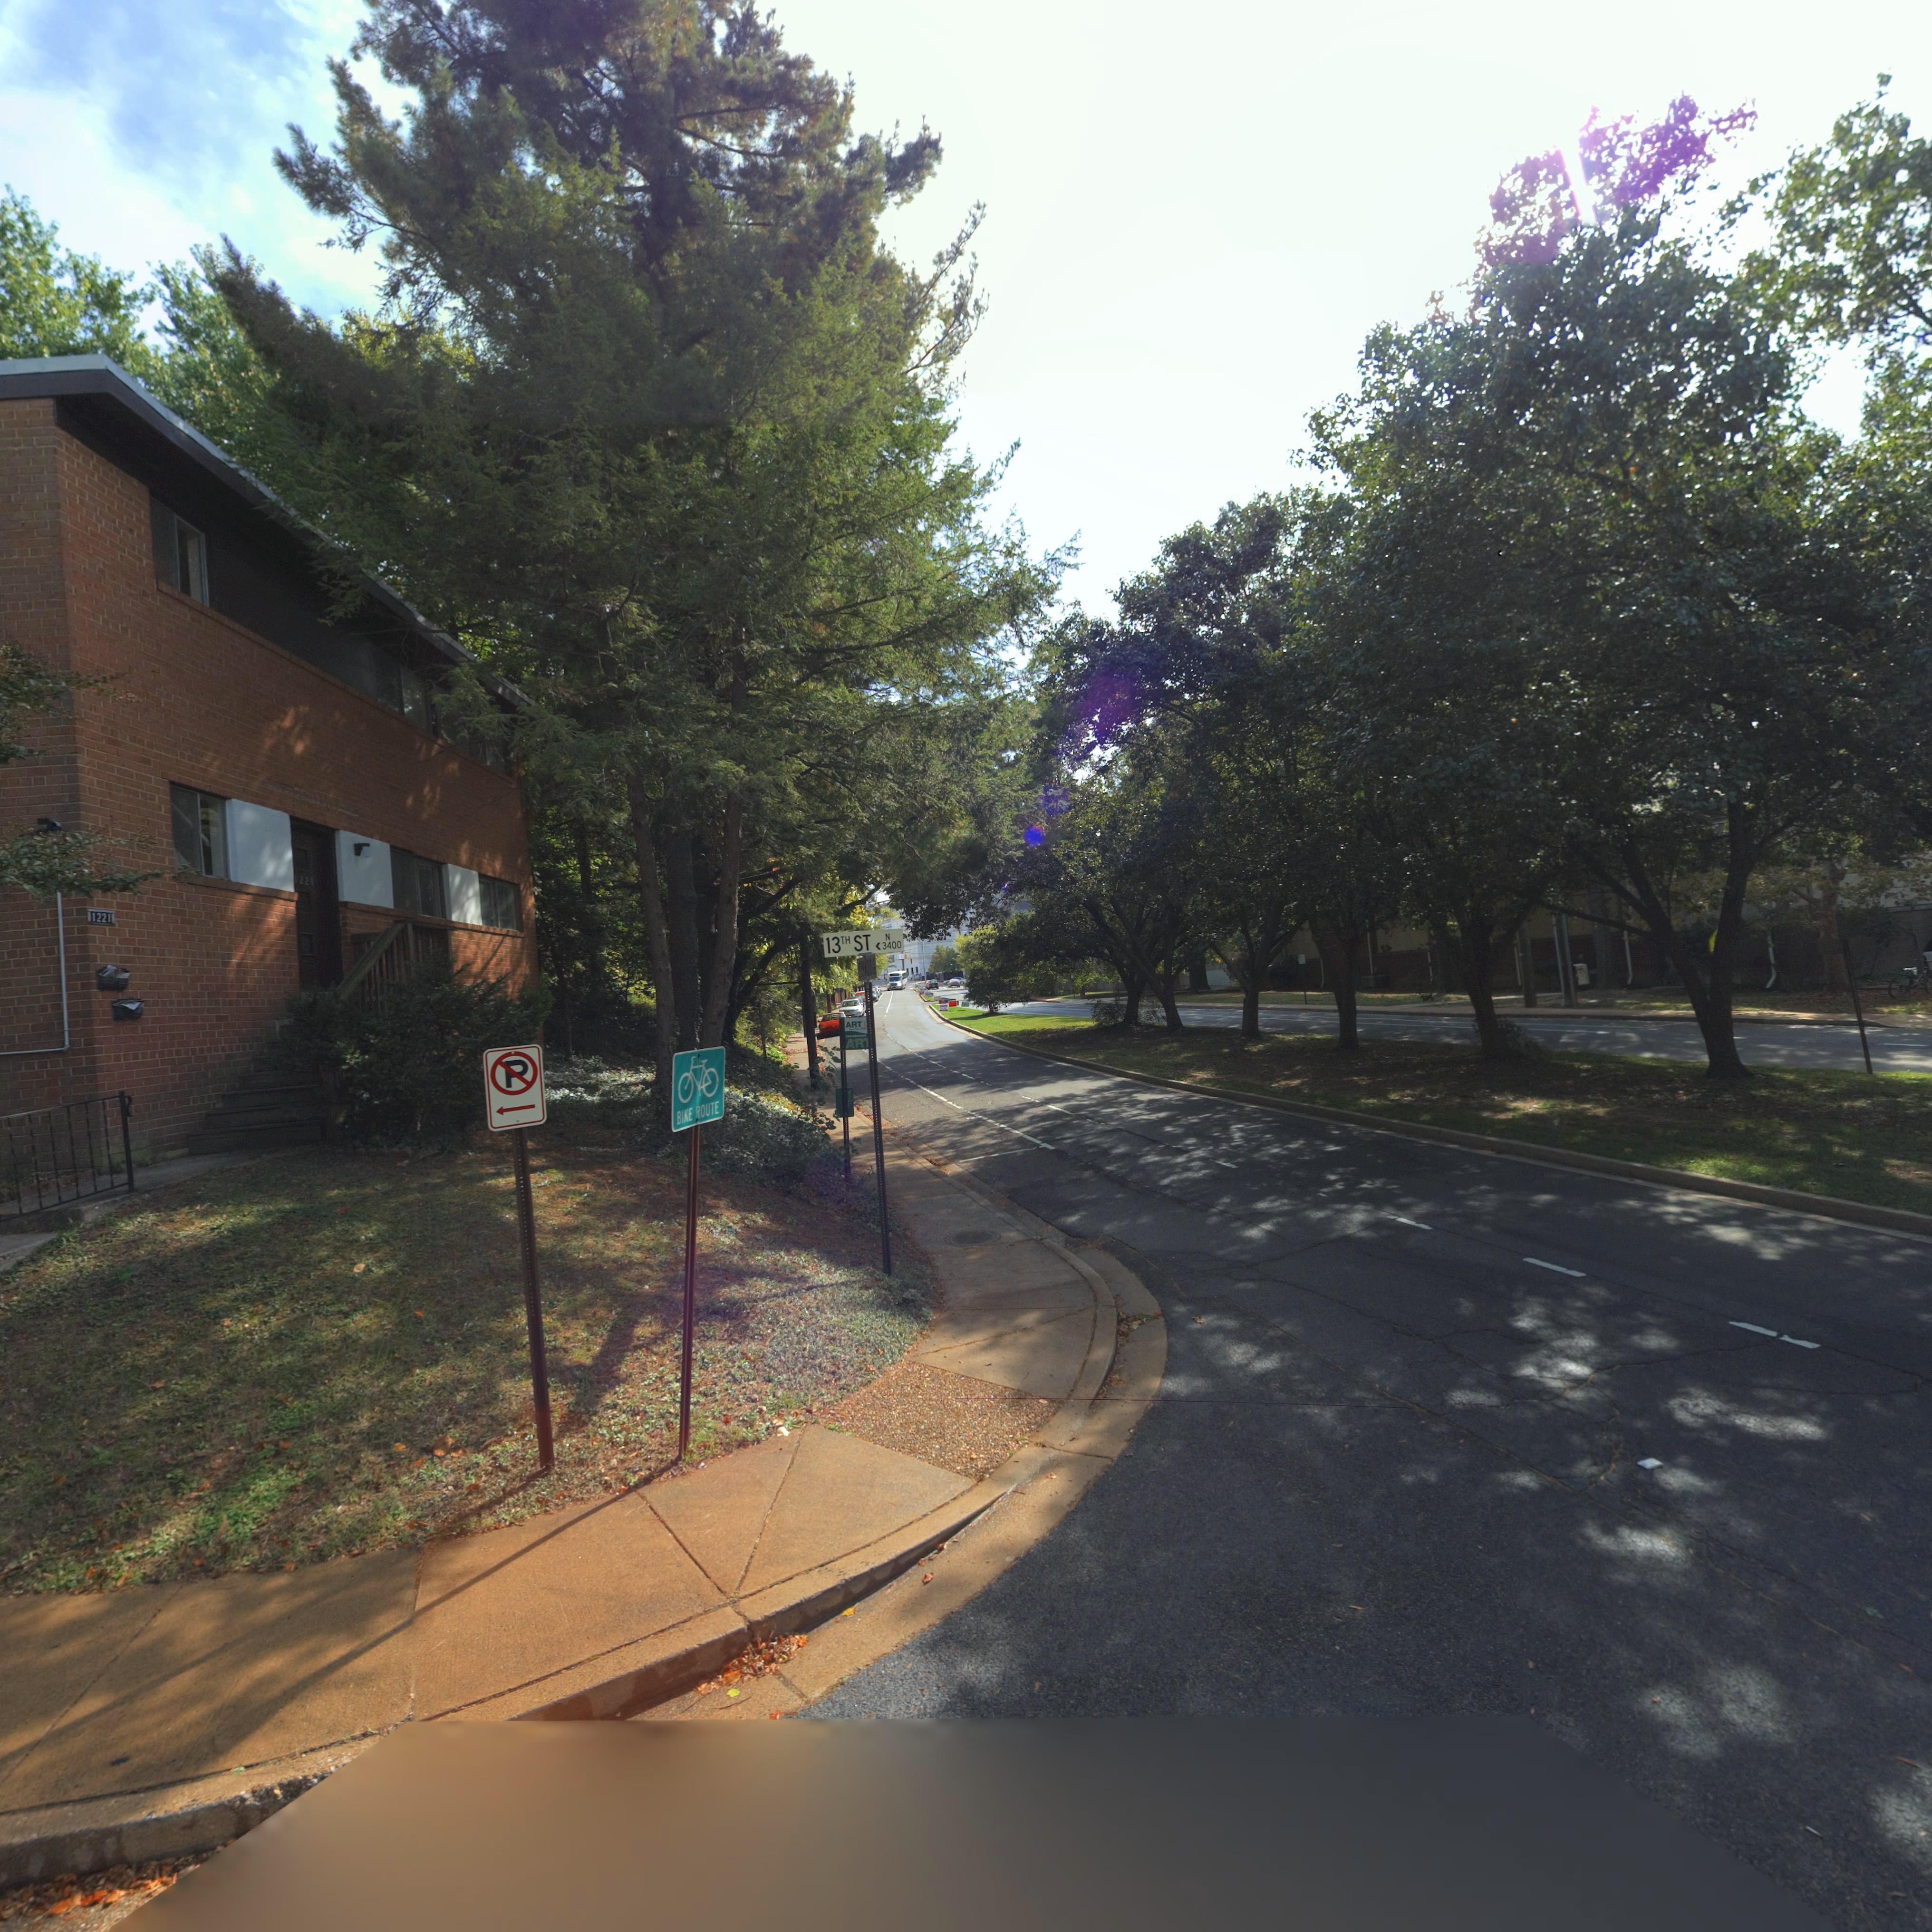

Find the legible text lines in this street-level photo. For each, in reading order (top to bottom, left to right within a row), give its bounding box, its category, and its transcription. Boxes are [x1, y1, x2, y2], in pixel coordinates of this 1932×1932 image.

[293, 872, 315, 887] StreetNumber: 1221
[91, 911, 112, 924] StreetNumber: 1221
[824, 931, 891, 955] StreetName: 13TH ST N
[881, 939, 903, 951] StreetNumberRange: 3400
[844, 1020, 863, 1029] None: ART
[844, 1037, 865, 1050] None: AR
[676, 1099, 720, 1127] None: BIKE ROUTE